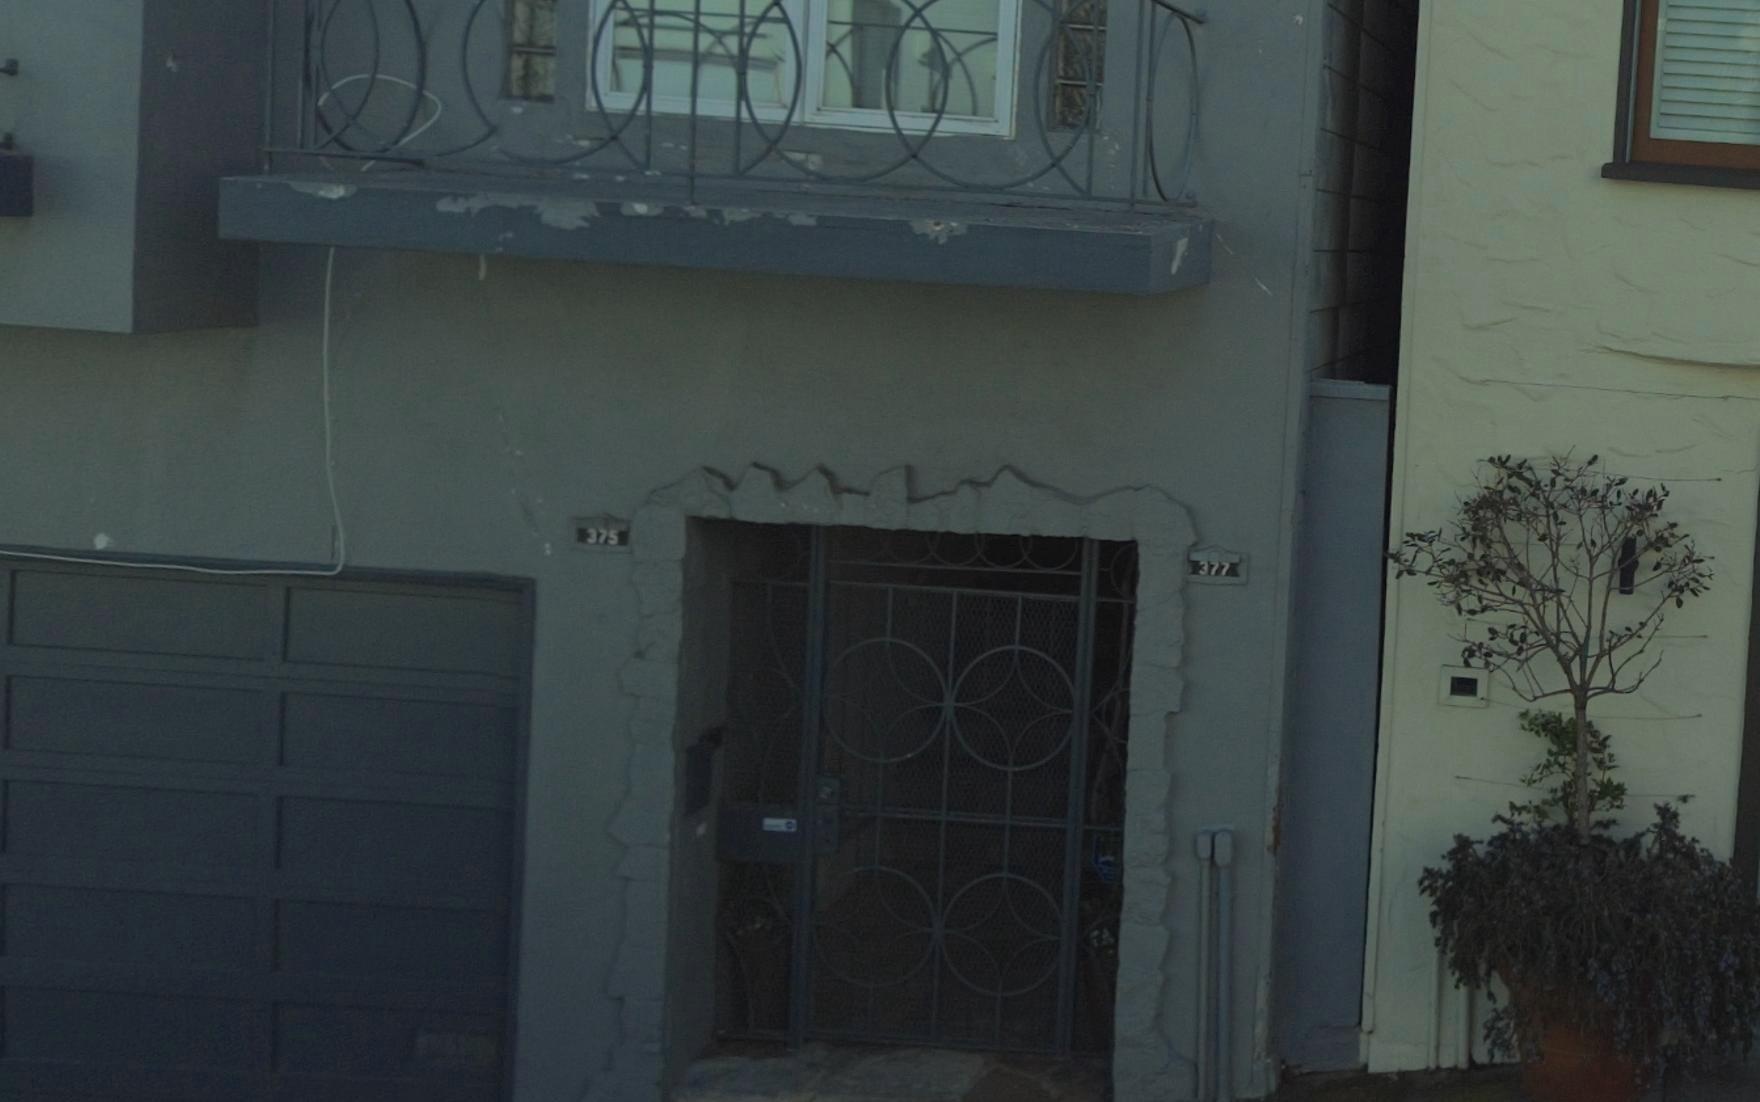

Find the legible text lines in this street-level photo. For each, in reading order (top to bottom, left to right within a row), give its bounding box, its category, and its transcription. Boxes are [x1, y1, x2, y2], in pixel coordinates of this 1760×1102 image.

[583, 528, 622, 546] StreetNumber: 375
[1198, 560, 1235, 576] StreetNumber: 377